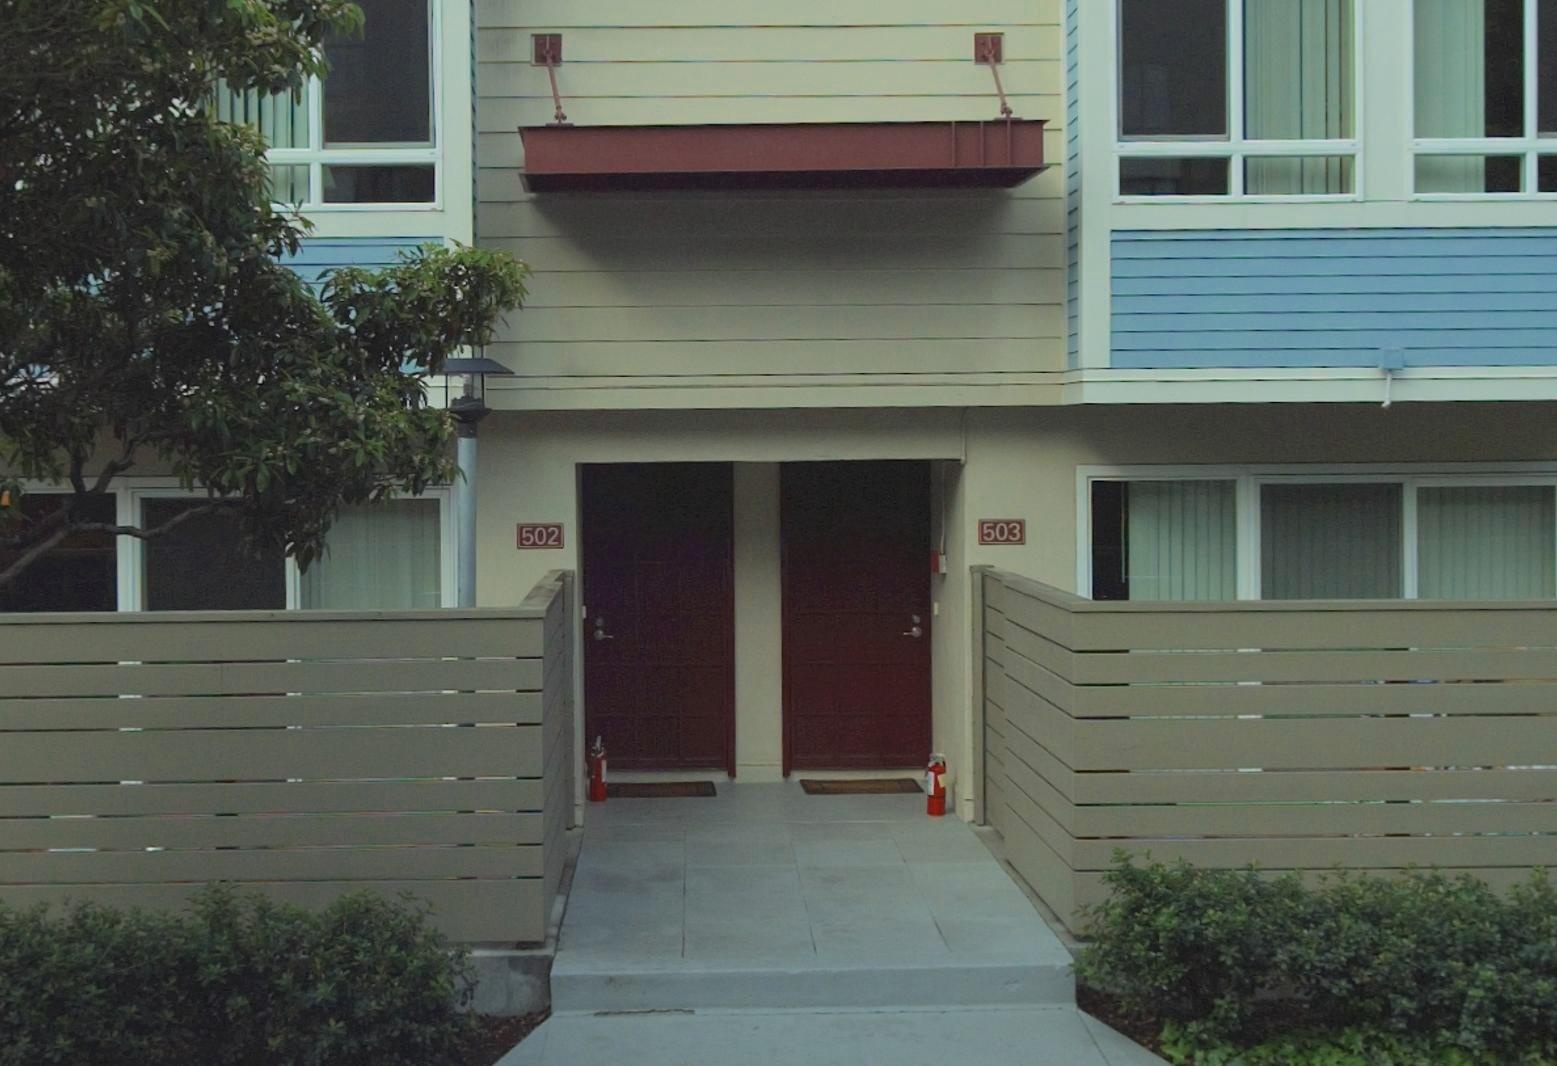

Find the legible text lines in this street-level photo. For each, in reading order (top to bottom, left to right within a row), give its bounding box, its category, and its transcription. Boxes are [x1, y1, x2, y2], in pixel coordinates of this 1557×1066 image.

[520, 525, 561, 547] StreetNumber: 502
[981, 521, 1023, 543] StreetNumber: 503